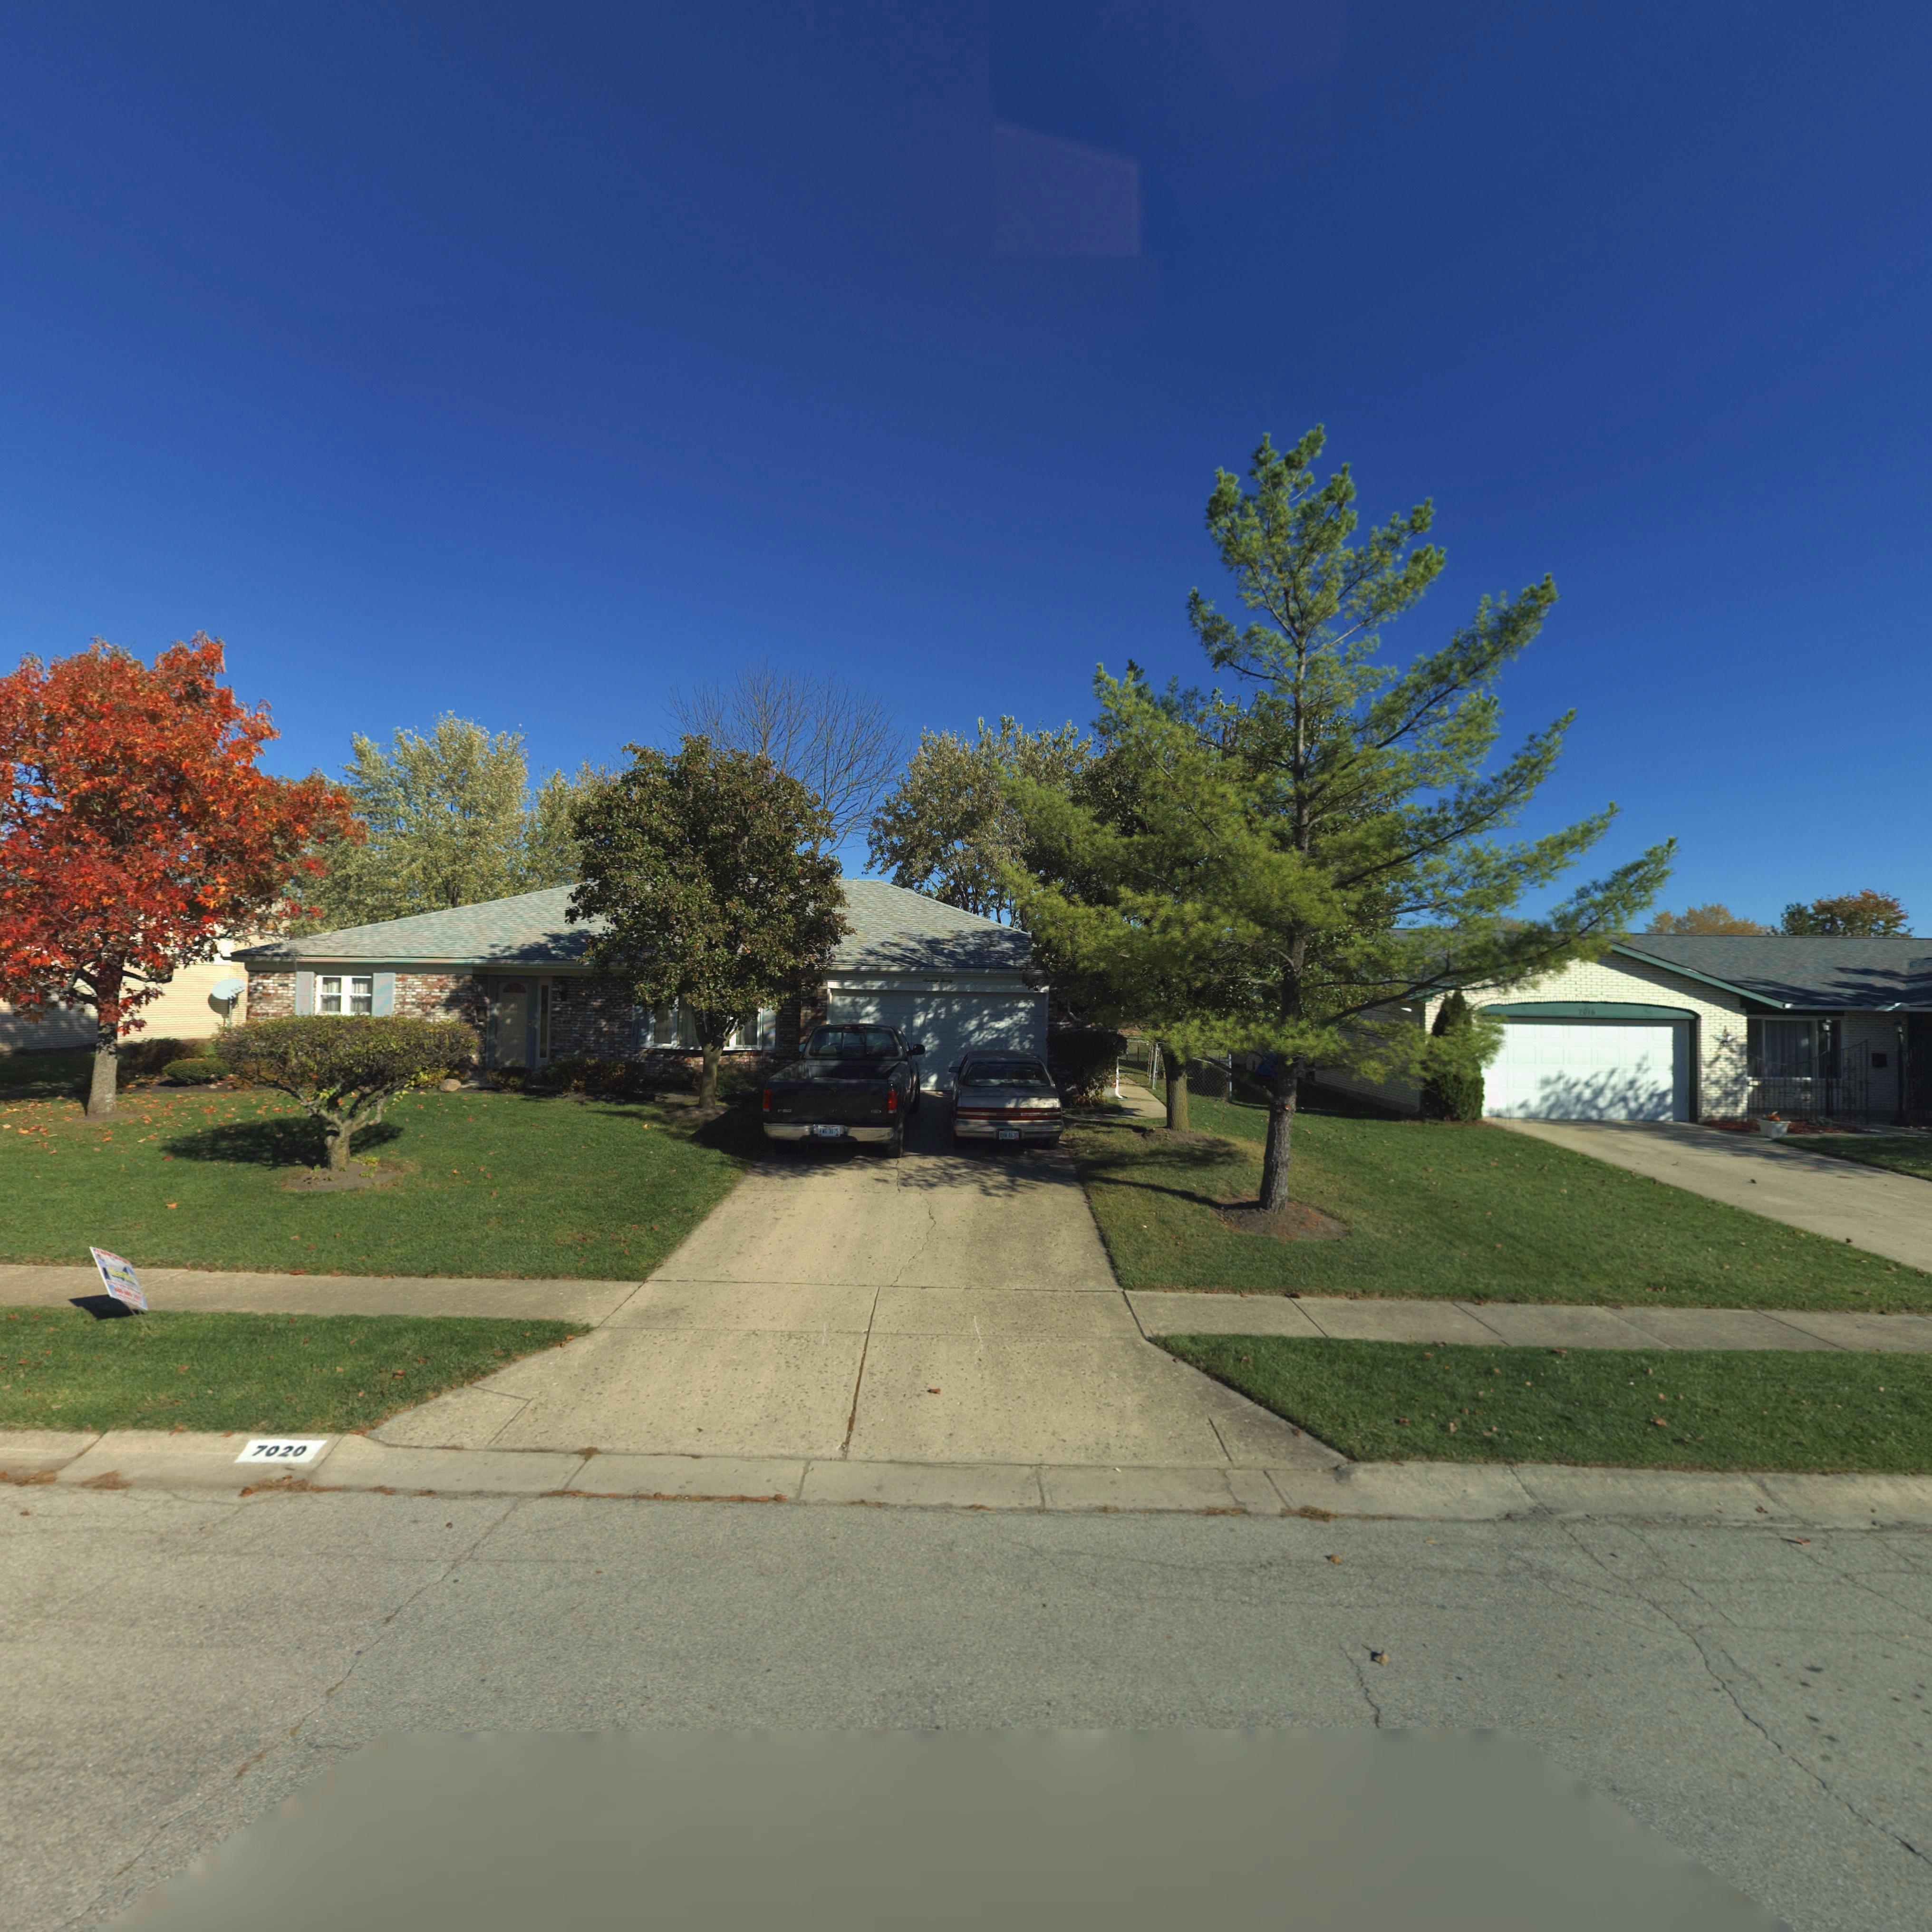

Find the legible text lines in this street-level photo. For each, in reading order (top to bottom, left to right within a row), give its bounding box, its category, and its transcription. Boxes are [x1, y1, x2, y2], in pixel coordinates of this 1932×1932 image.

[922, 977, 954, 984] StreetNumber: Seventy Twenty
[1577, 1008, 1596, 1016] StreetNumber: 7016
[250, 1444, 307, 1457] StreetNumber: 7020